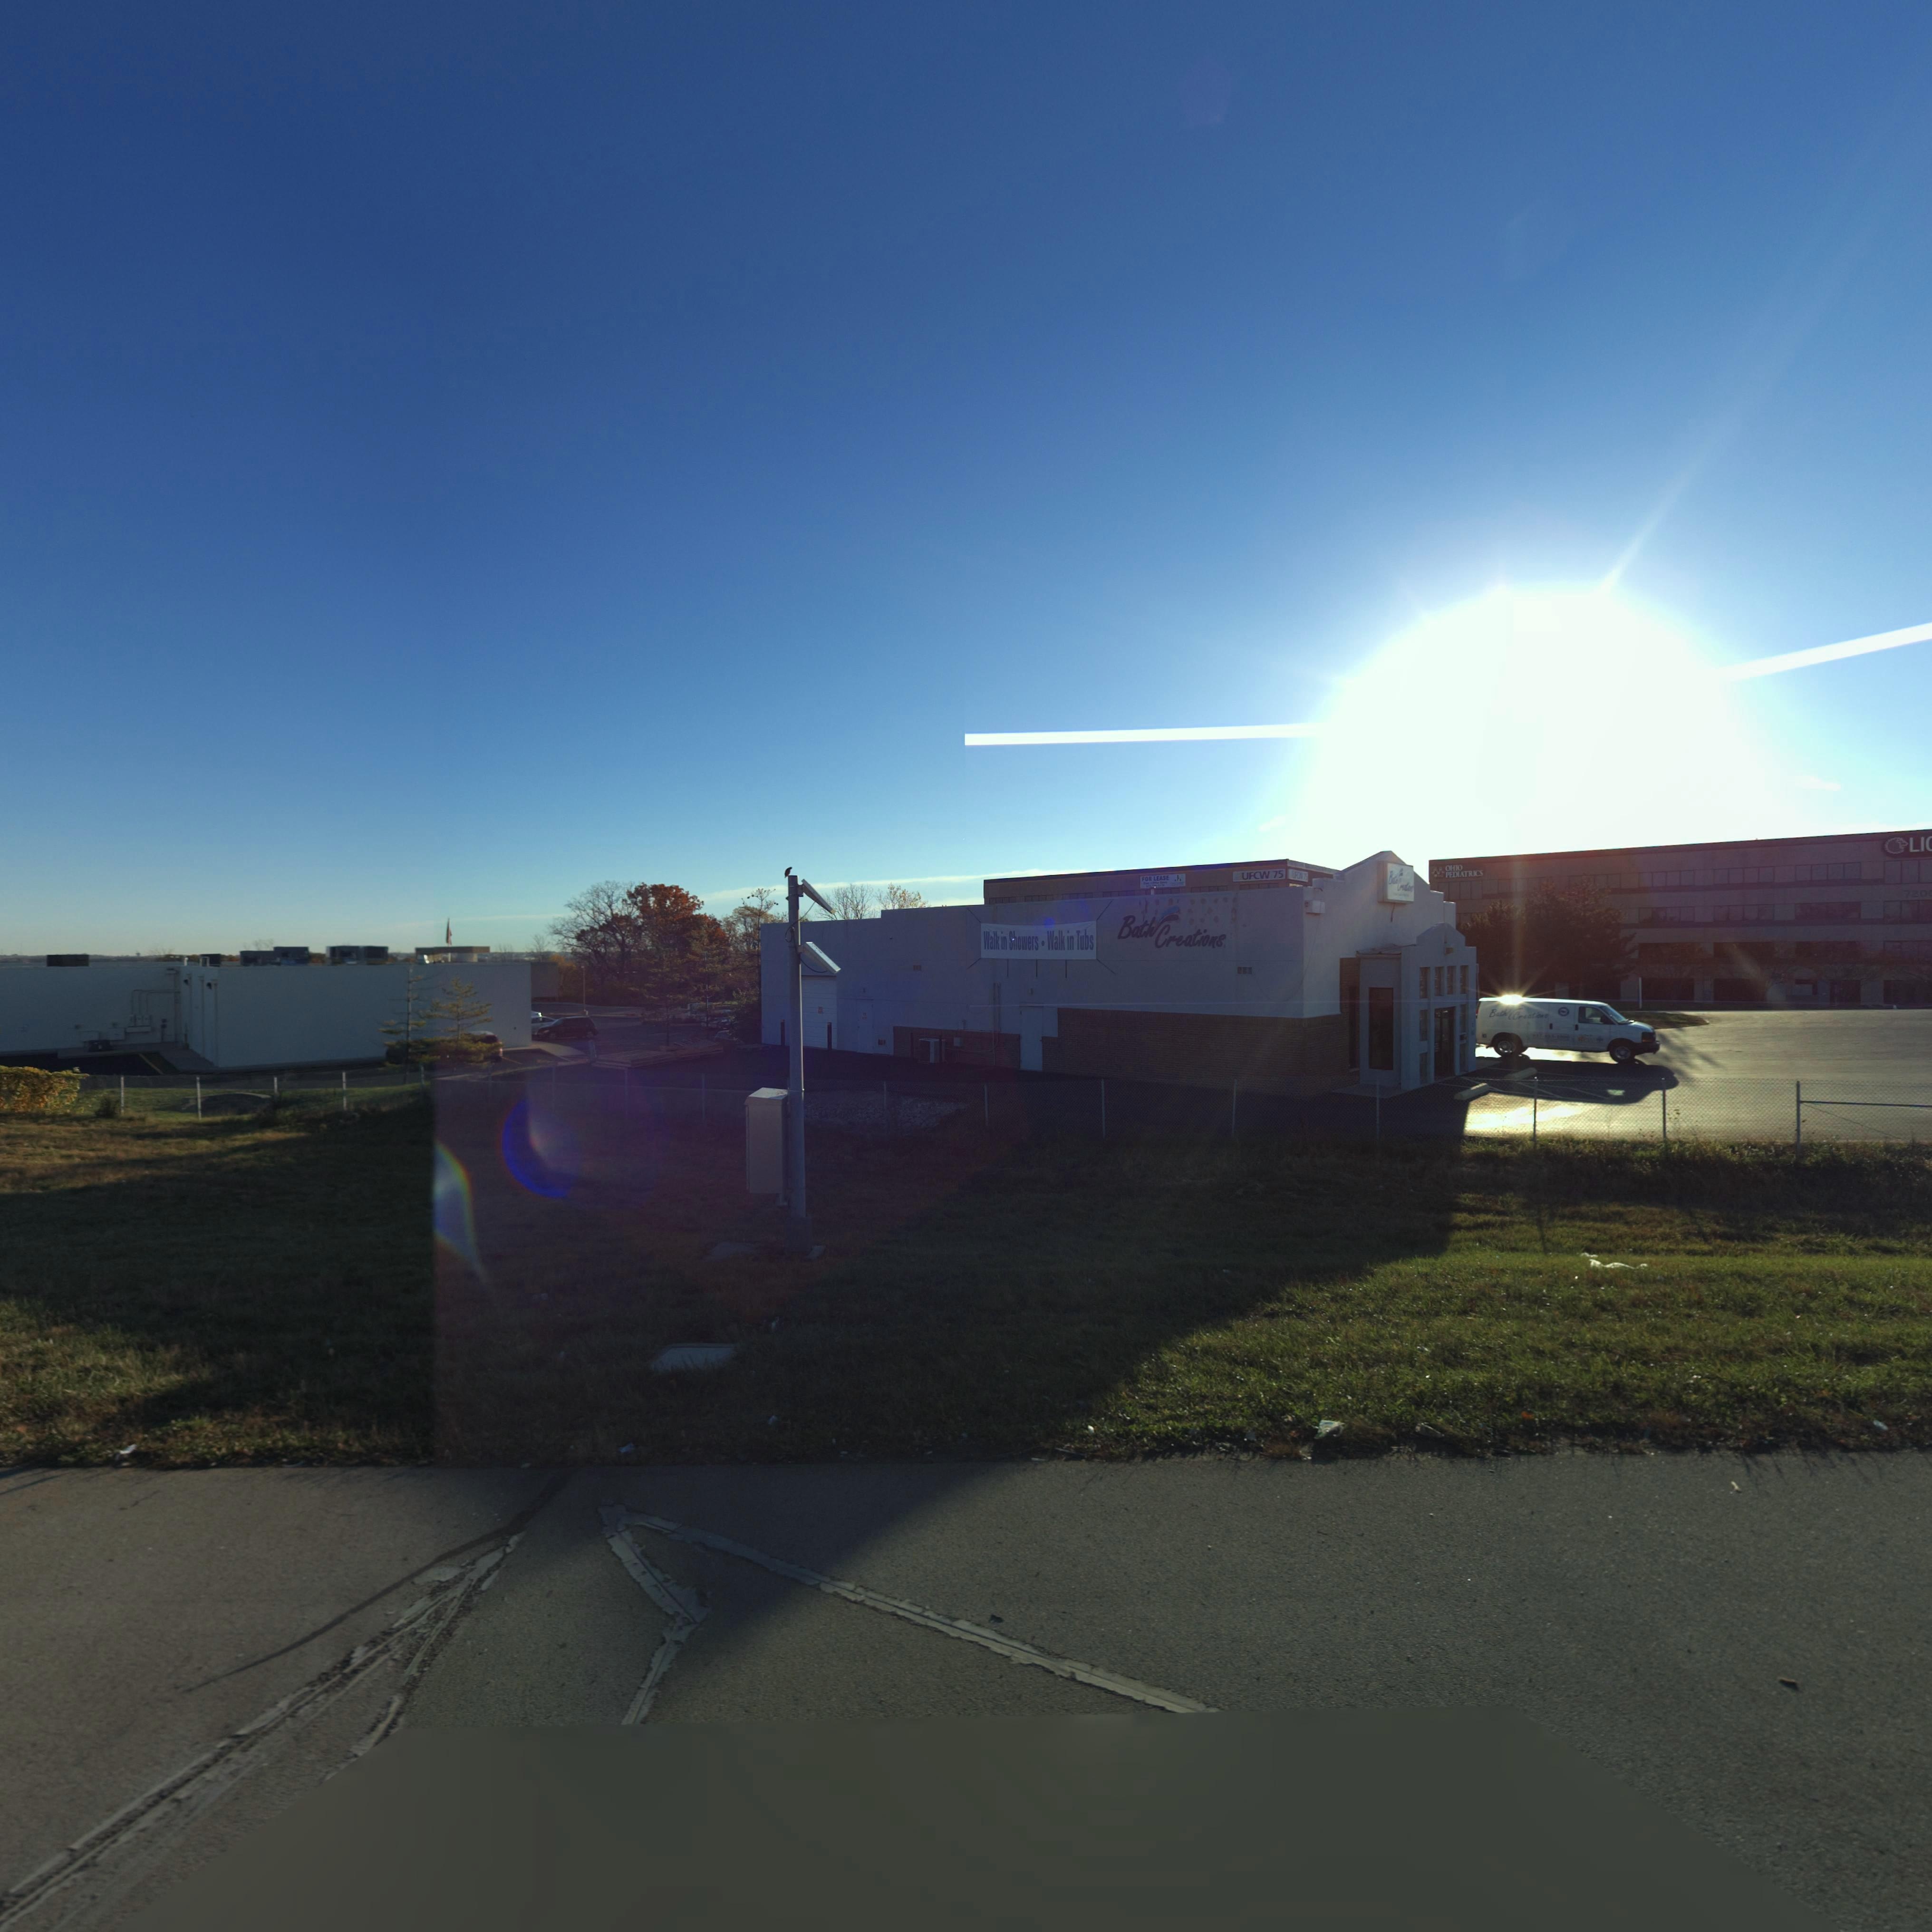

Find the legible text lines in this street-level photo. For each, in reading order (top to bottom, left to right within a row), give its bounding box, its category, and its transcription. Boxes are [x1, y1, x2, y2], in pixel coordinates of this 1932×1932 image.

[1907, 835, 1925, 854] BusinessName: LI
[1444, 864, 1463, 871] BusinessName: OHIO
[1140, 874, 1170, 882] None: FOR LEASE
[1241, 869, 1284, 880] BusinessName: UFCW 75
[1445, 869, 1485, 879] BusinessName: PEDIATRICS
[1902, 889, 1929, 900] StreetNumber: 720
[1115, 911, 1194, 951] None: Bath Crea
[982, 929, 1097, 953] None: Walk in Showers * Walk in Tubs